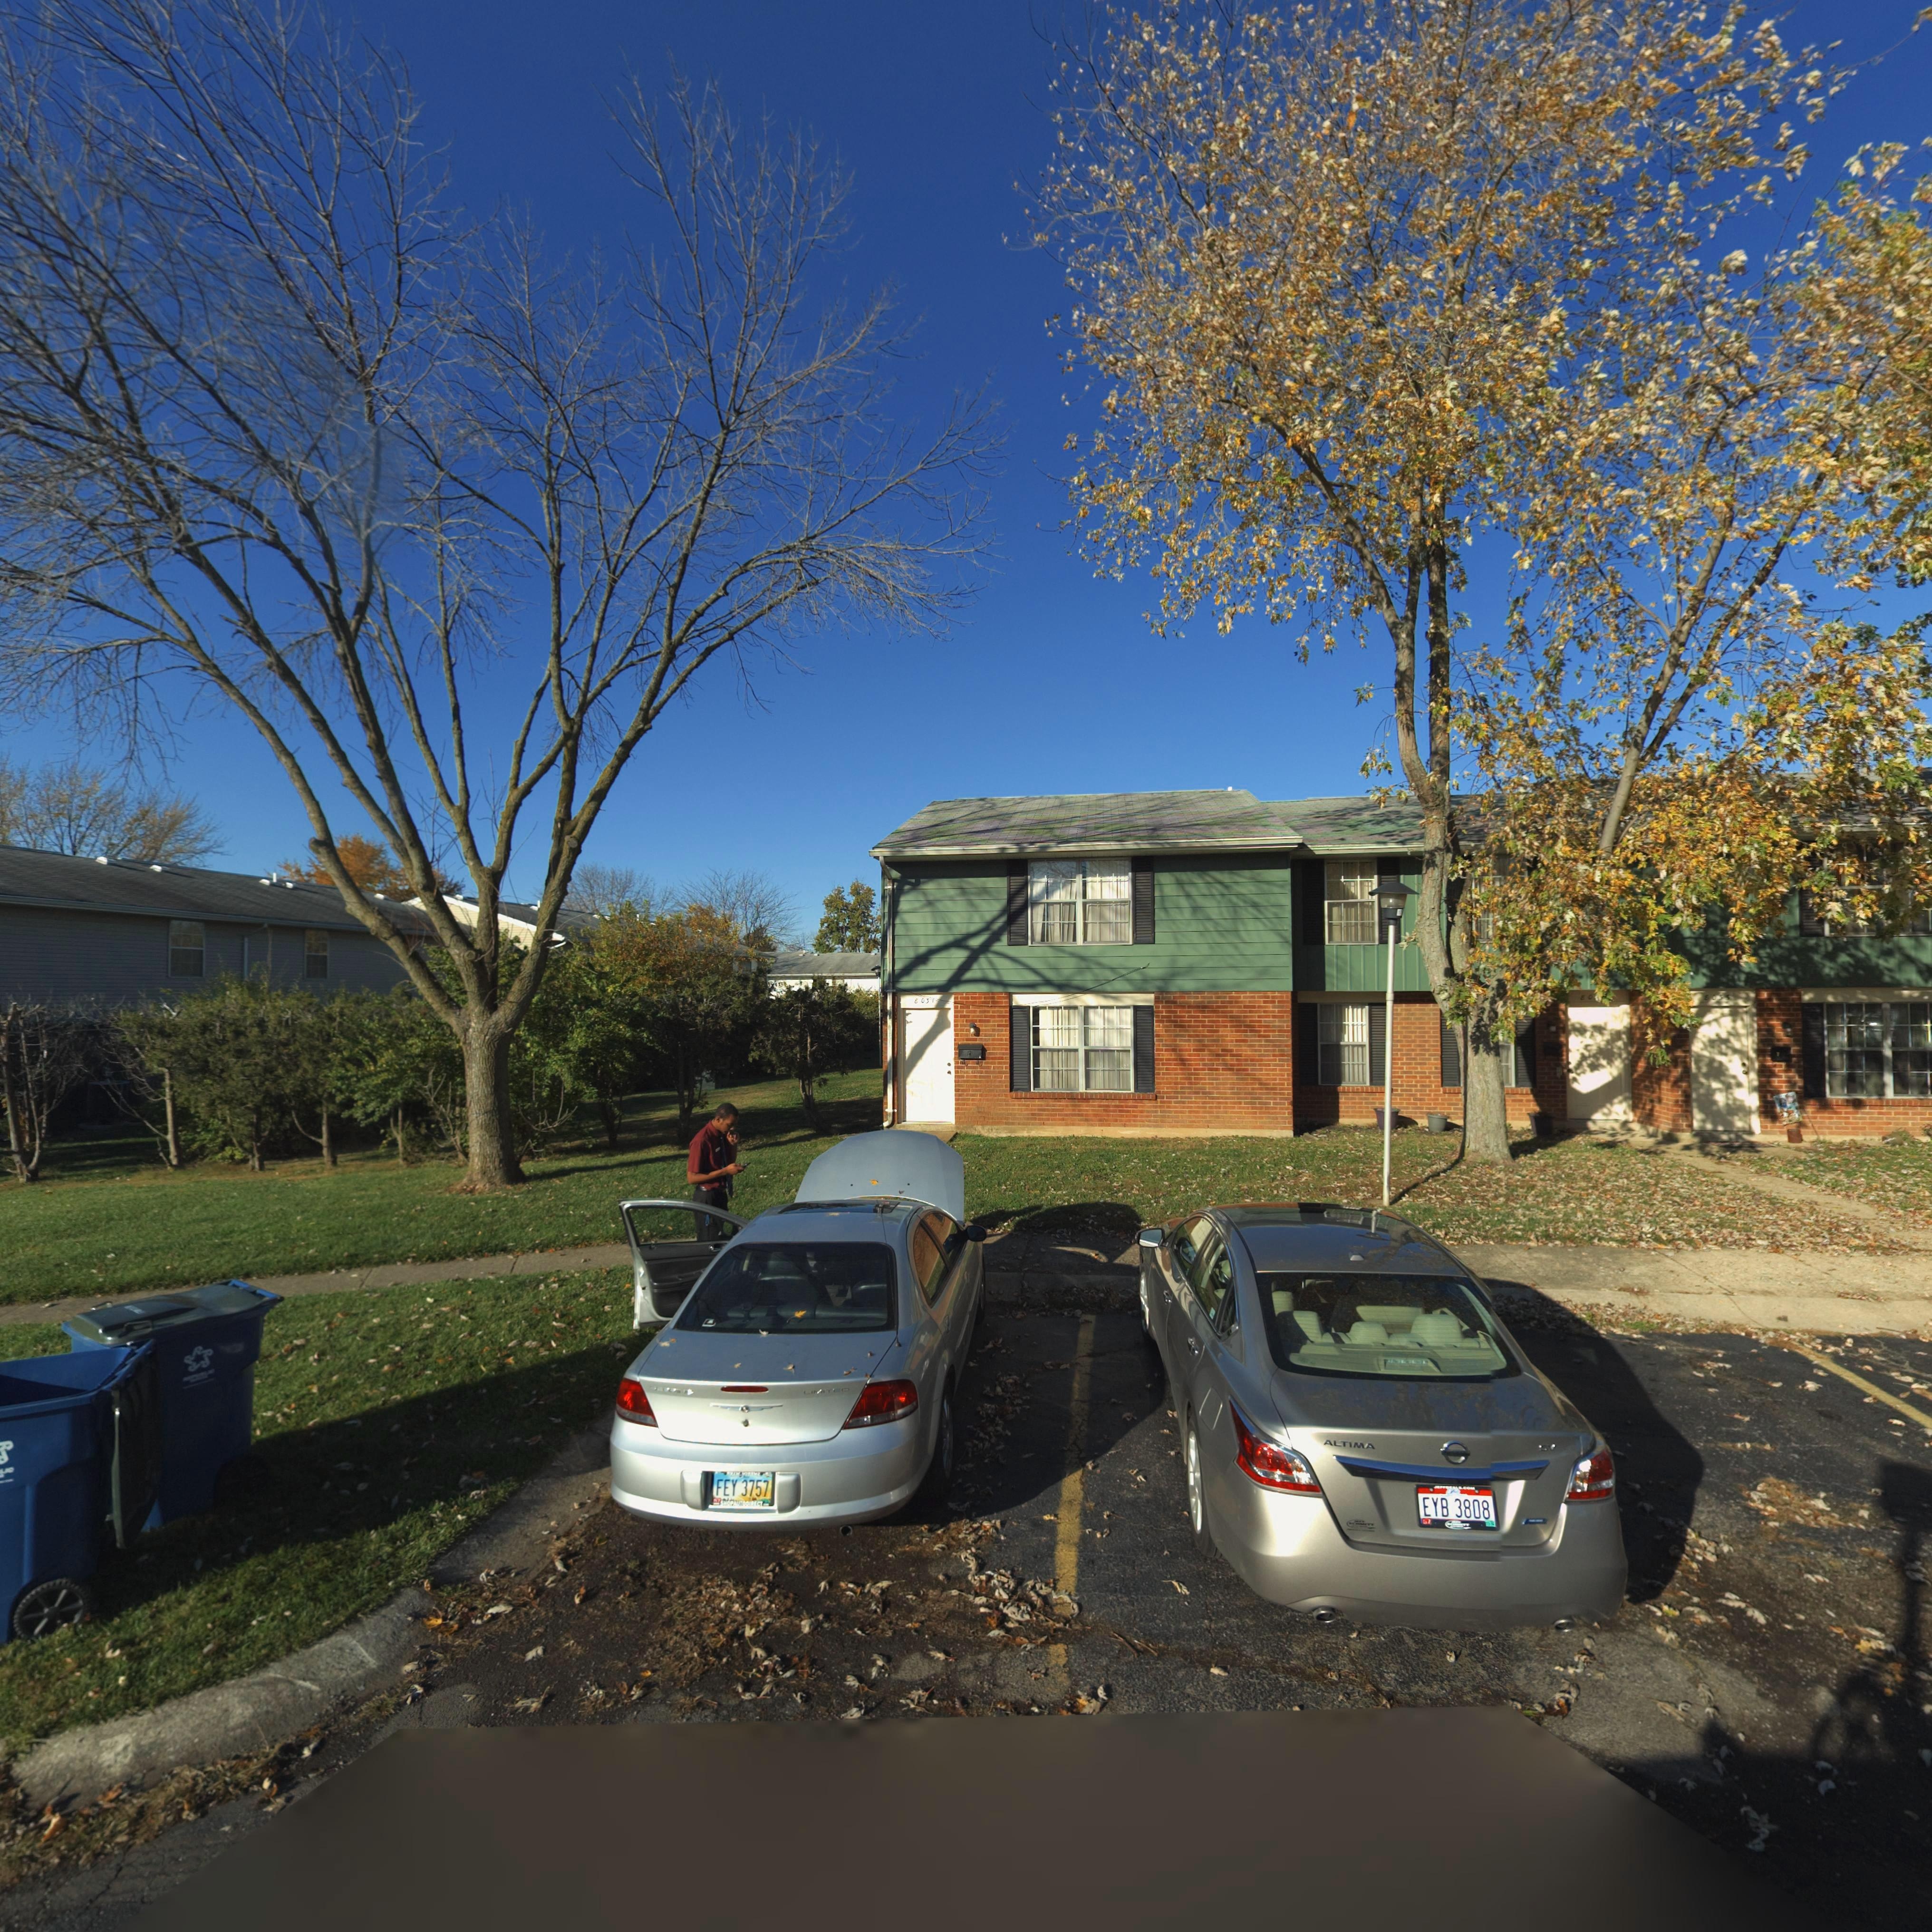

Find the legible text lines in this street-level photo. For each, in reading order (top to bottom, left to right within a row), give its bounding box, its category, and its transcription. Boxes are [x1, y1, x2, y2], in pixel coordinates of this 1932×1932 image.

[914, 997, 935, 1004] StreetNumber: 8031
[1580, 994, 1593, 1001] StreetNumber: 80
[1703, 993, 1730, 1001] StreetNumber: 8035